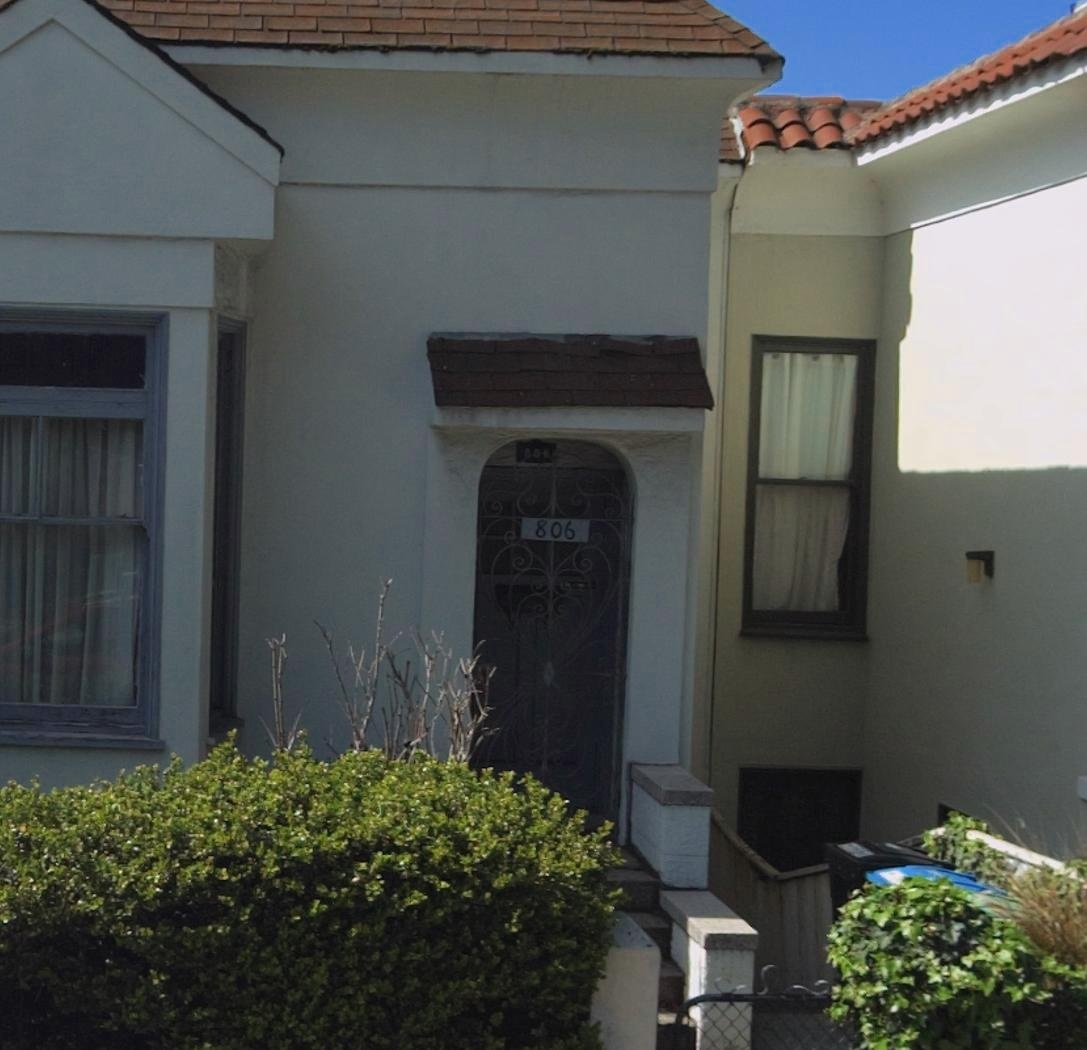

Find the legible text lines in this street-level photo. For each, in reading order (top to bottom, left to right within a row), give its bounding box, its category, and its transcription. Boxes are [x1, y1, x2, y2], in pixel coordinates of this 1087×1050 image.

[532, 518, 576, 541] StreetNumber: 806